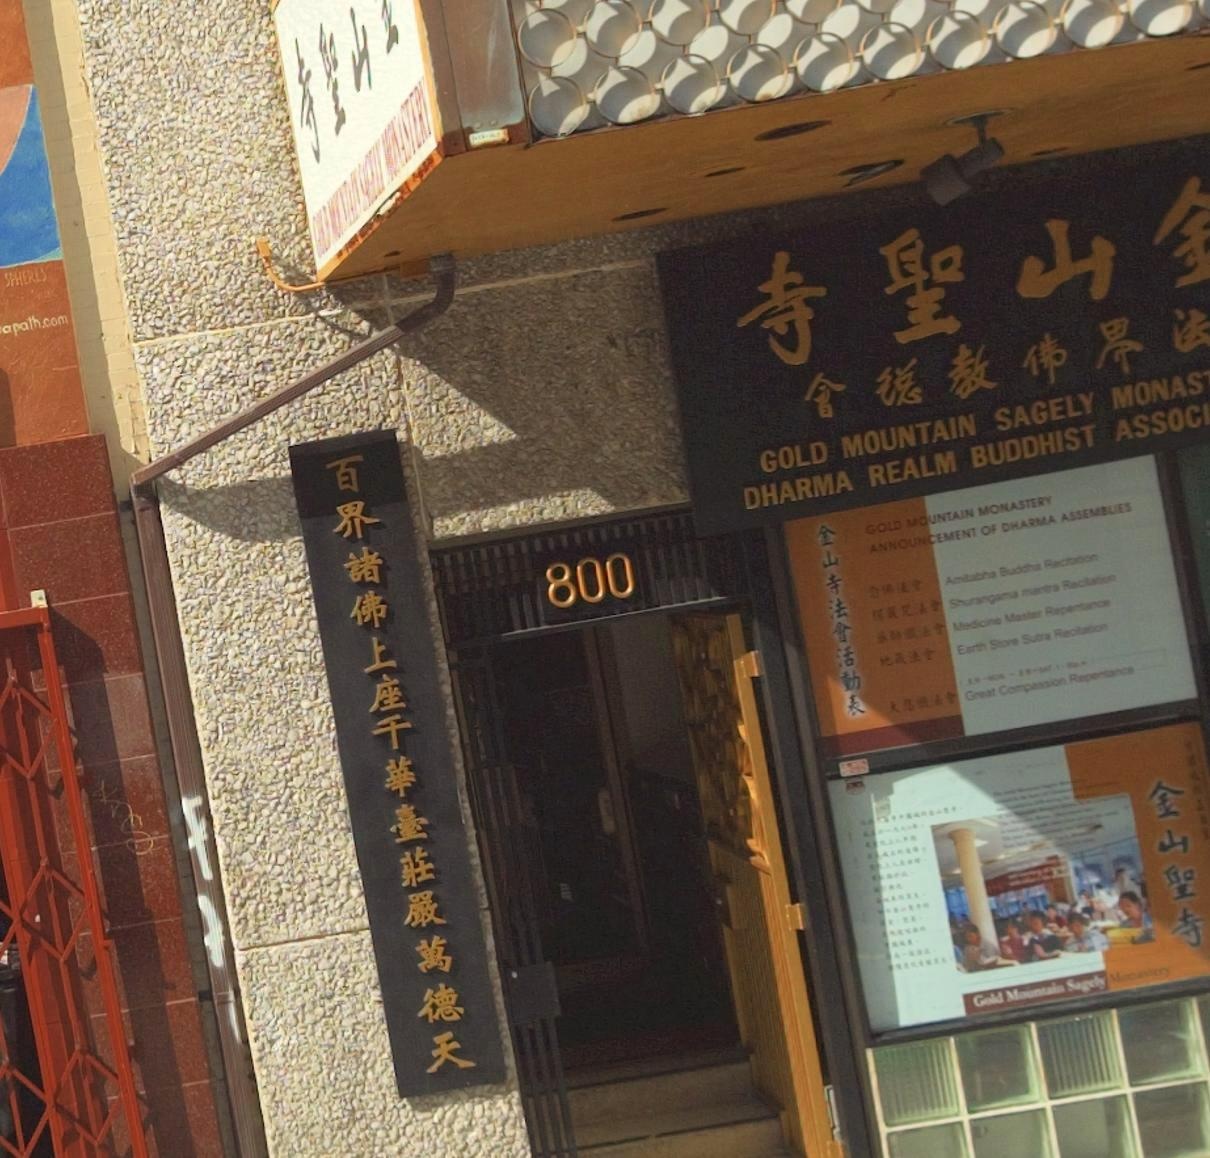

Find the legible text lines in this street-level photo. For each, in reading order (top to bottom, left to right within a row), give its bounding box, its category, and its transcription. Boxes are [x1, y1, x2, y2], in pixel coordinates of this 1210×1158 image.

[395, 72, 437, 167] None: STERY
[2, 264, 49, 290] None: SPHERES
[1, 313, 70, 338] None: apath.com
[756, 368, 1207, 475] BusinessName: G0LD MOUNTAIN SAGELY MONAS
[741, 401, 1204, 513] BusinessName: DHARMA REALM BUDDHIST ASSOC
[863, 492, 1056, 538] None: GOLD MOUNTAIN MONASTERY
[867, 499, 1135, 557] None: ANNOUNCEMENT OF DHARMA ASSEMBLIES
[540, 547, 638, 613] StreetNumber: 800
[942, 548, 1101, 588] None: Amtabha Buddha Recitation
[946, 569, 1120, 612] None: Shurangama mantro Recitation
[950, 595, 1113, 638] None: Medicine Master Repentance
[955, 618, 1110, 659] None: Earth Stone Sutra Recitation
[963, 662, 1137, 705] None: Great Compassion Repentance
[969, 971, 1107, 1013] None: Gold Mountain Sagely